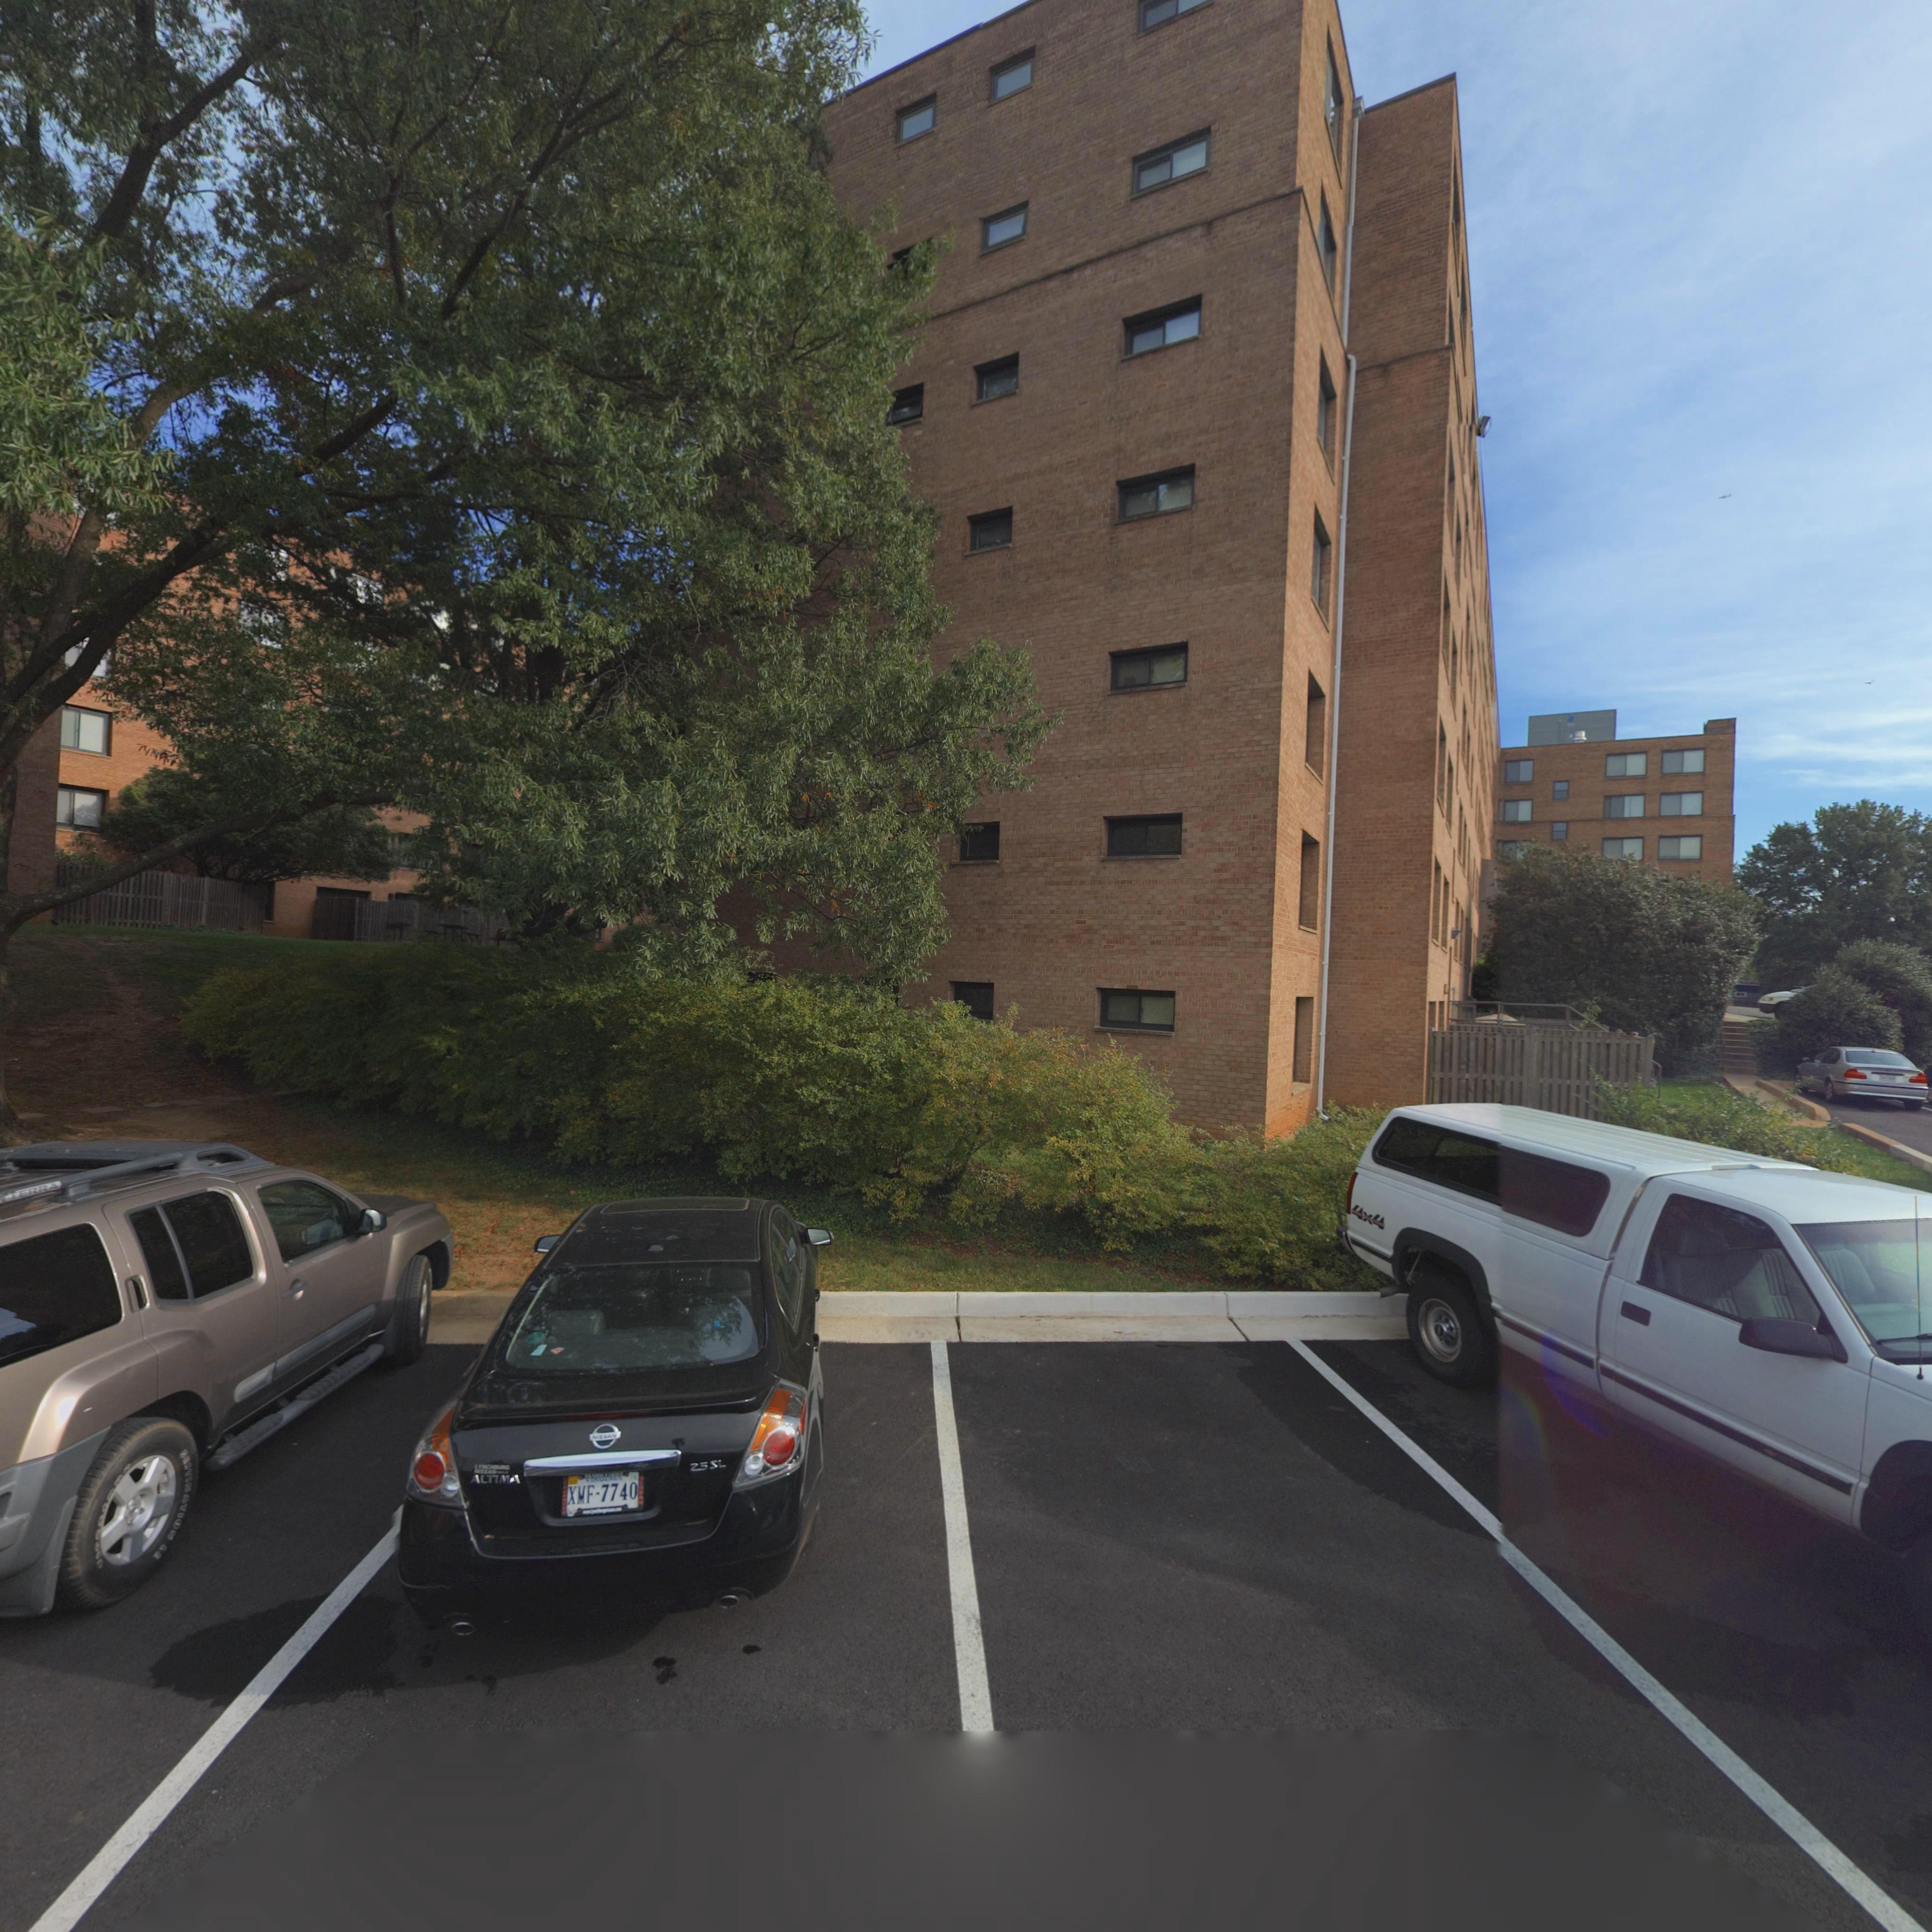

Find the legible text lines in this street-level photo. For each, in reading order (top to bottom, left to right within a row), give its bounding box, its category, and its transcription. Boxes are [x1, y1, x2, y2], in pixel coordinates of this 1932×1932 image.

[8, 1183, 59, 1200] None: TERRA
[1350, 1204, 1387, 1232] None: 4x4
[591, 1432, 617, 1440] None: NISSAN
[690, 1458, 727, 1473] None: 2.5SL
[468, 1474, 522, 1484] None: ALTIMA
[567, 1481, 638, 1506] None: XMF-7740